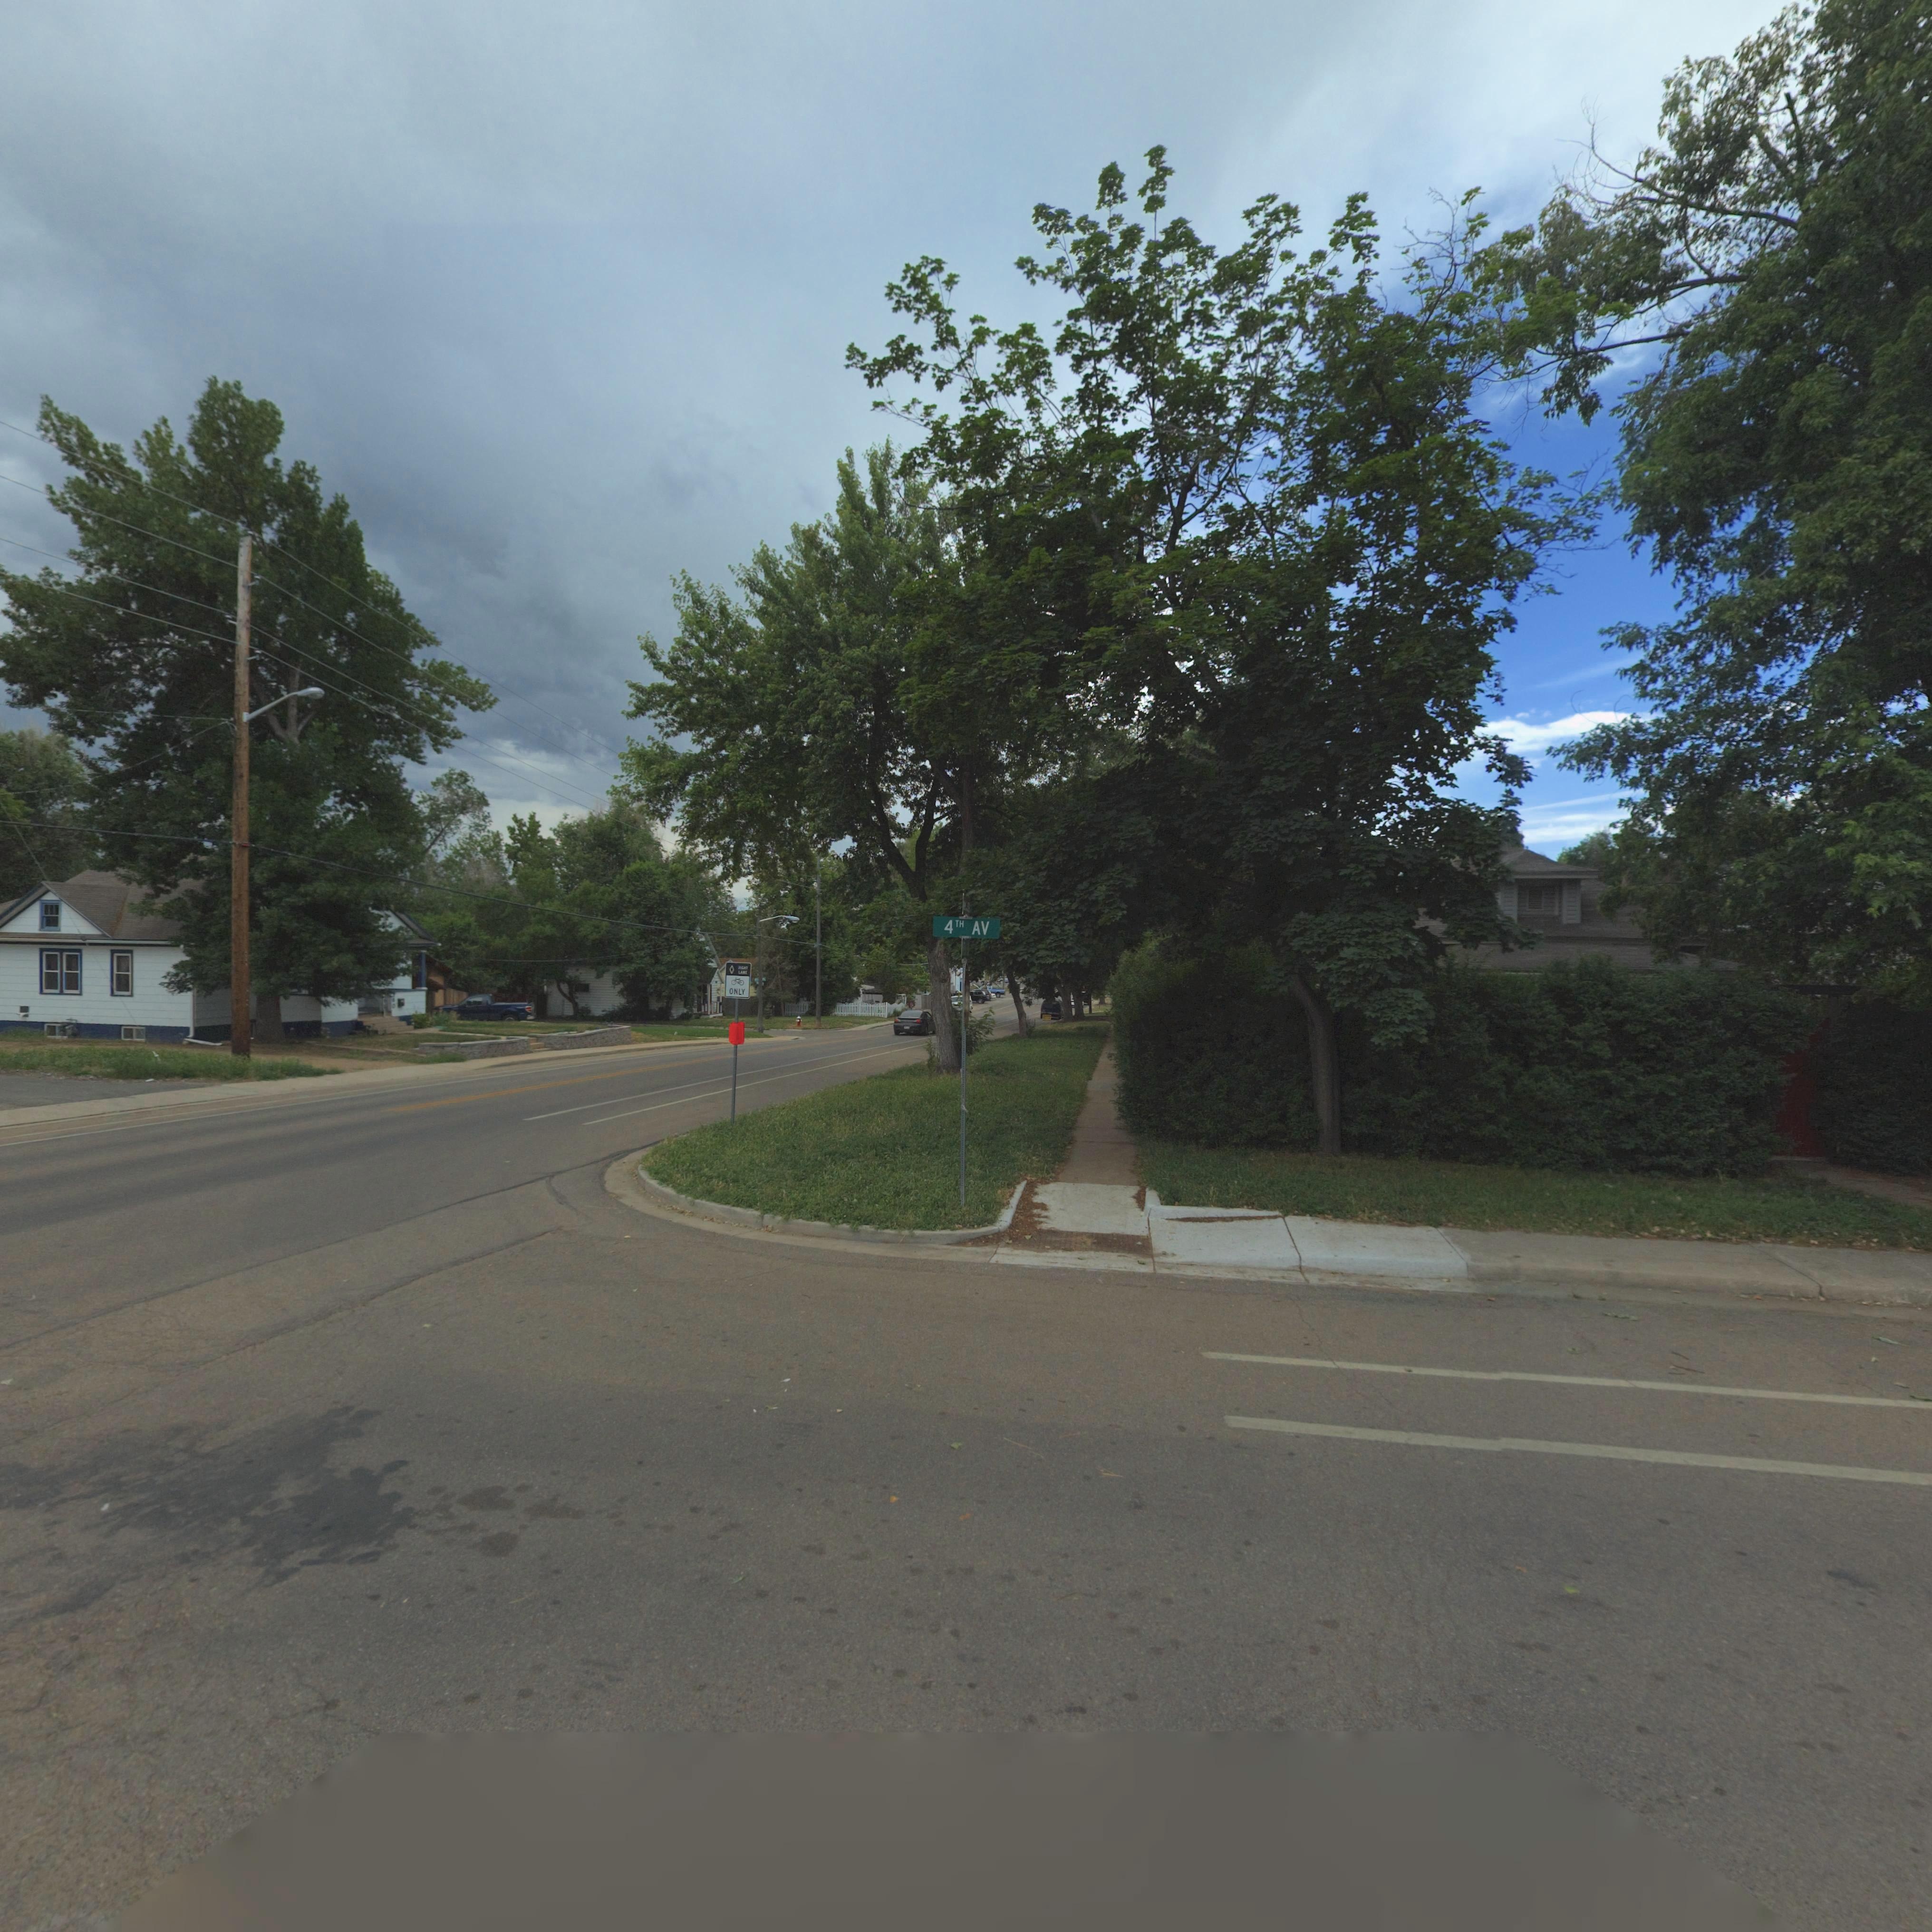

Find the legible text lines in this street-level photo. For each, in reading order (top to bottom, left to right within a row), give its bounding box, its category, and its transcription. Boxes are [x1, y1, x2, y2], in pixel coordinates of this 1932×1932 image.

[943, 919, 990, 936] StreetName: 4TH AV